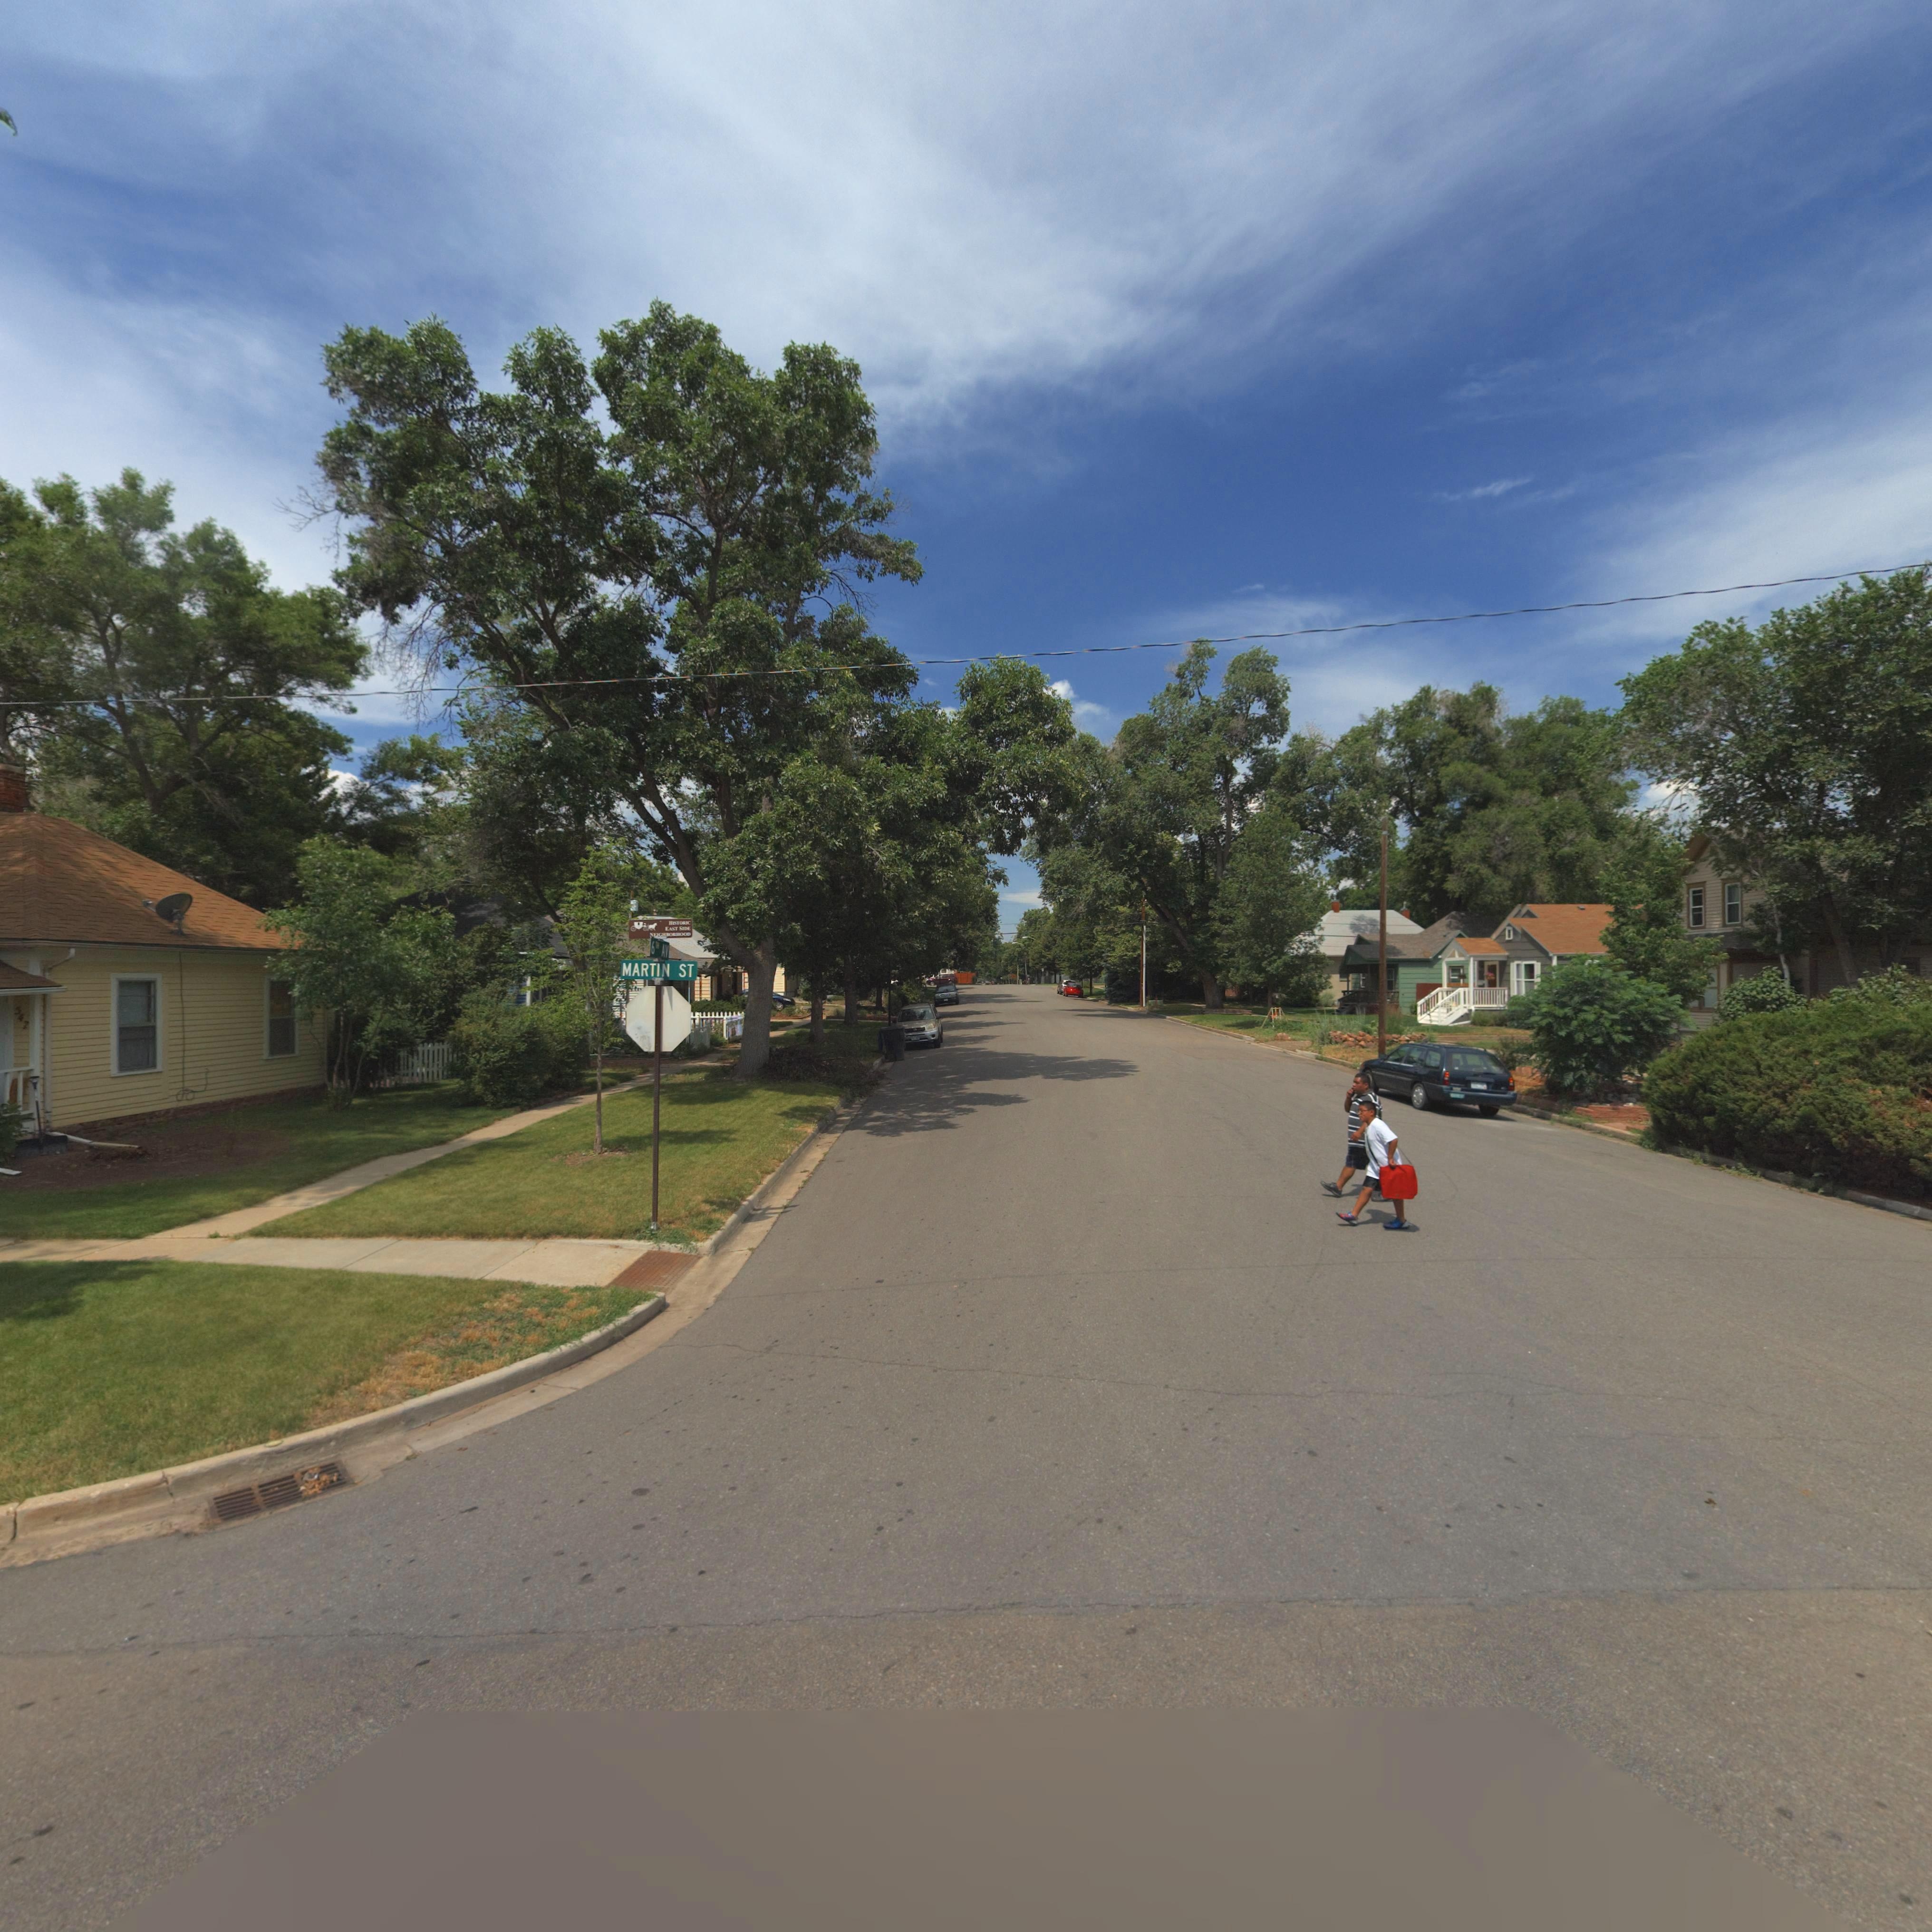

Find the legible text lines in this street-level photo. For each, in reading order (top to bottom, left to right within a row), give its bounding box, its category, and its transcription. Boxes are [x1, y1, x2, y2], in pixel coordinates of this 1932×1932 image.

[650, 940, 669, 958] StreetName: 6TH AV
[622, 962, 694, 977] StreetName: MARTIN ST
[13, 1005, 29, 1030] StreetNumber: 547